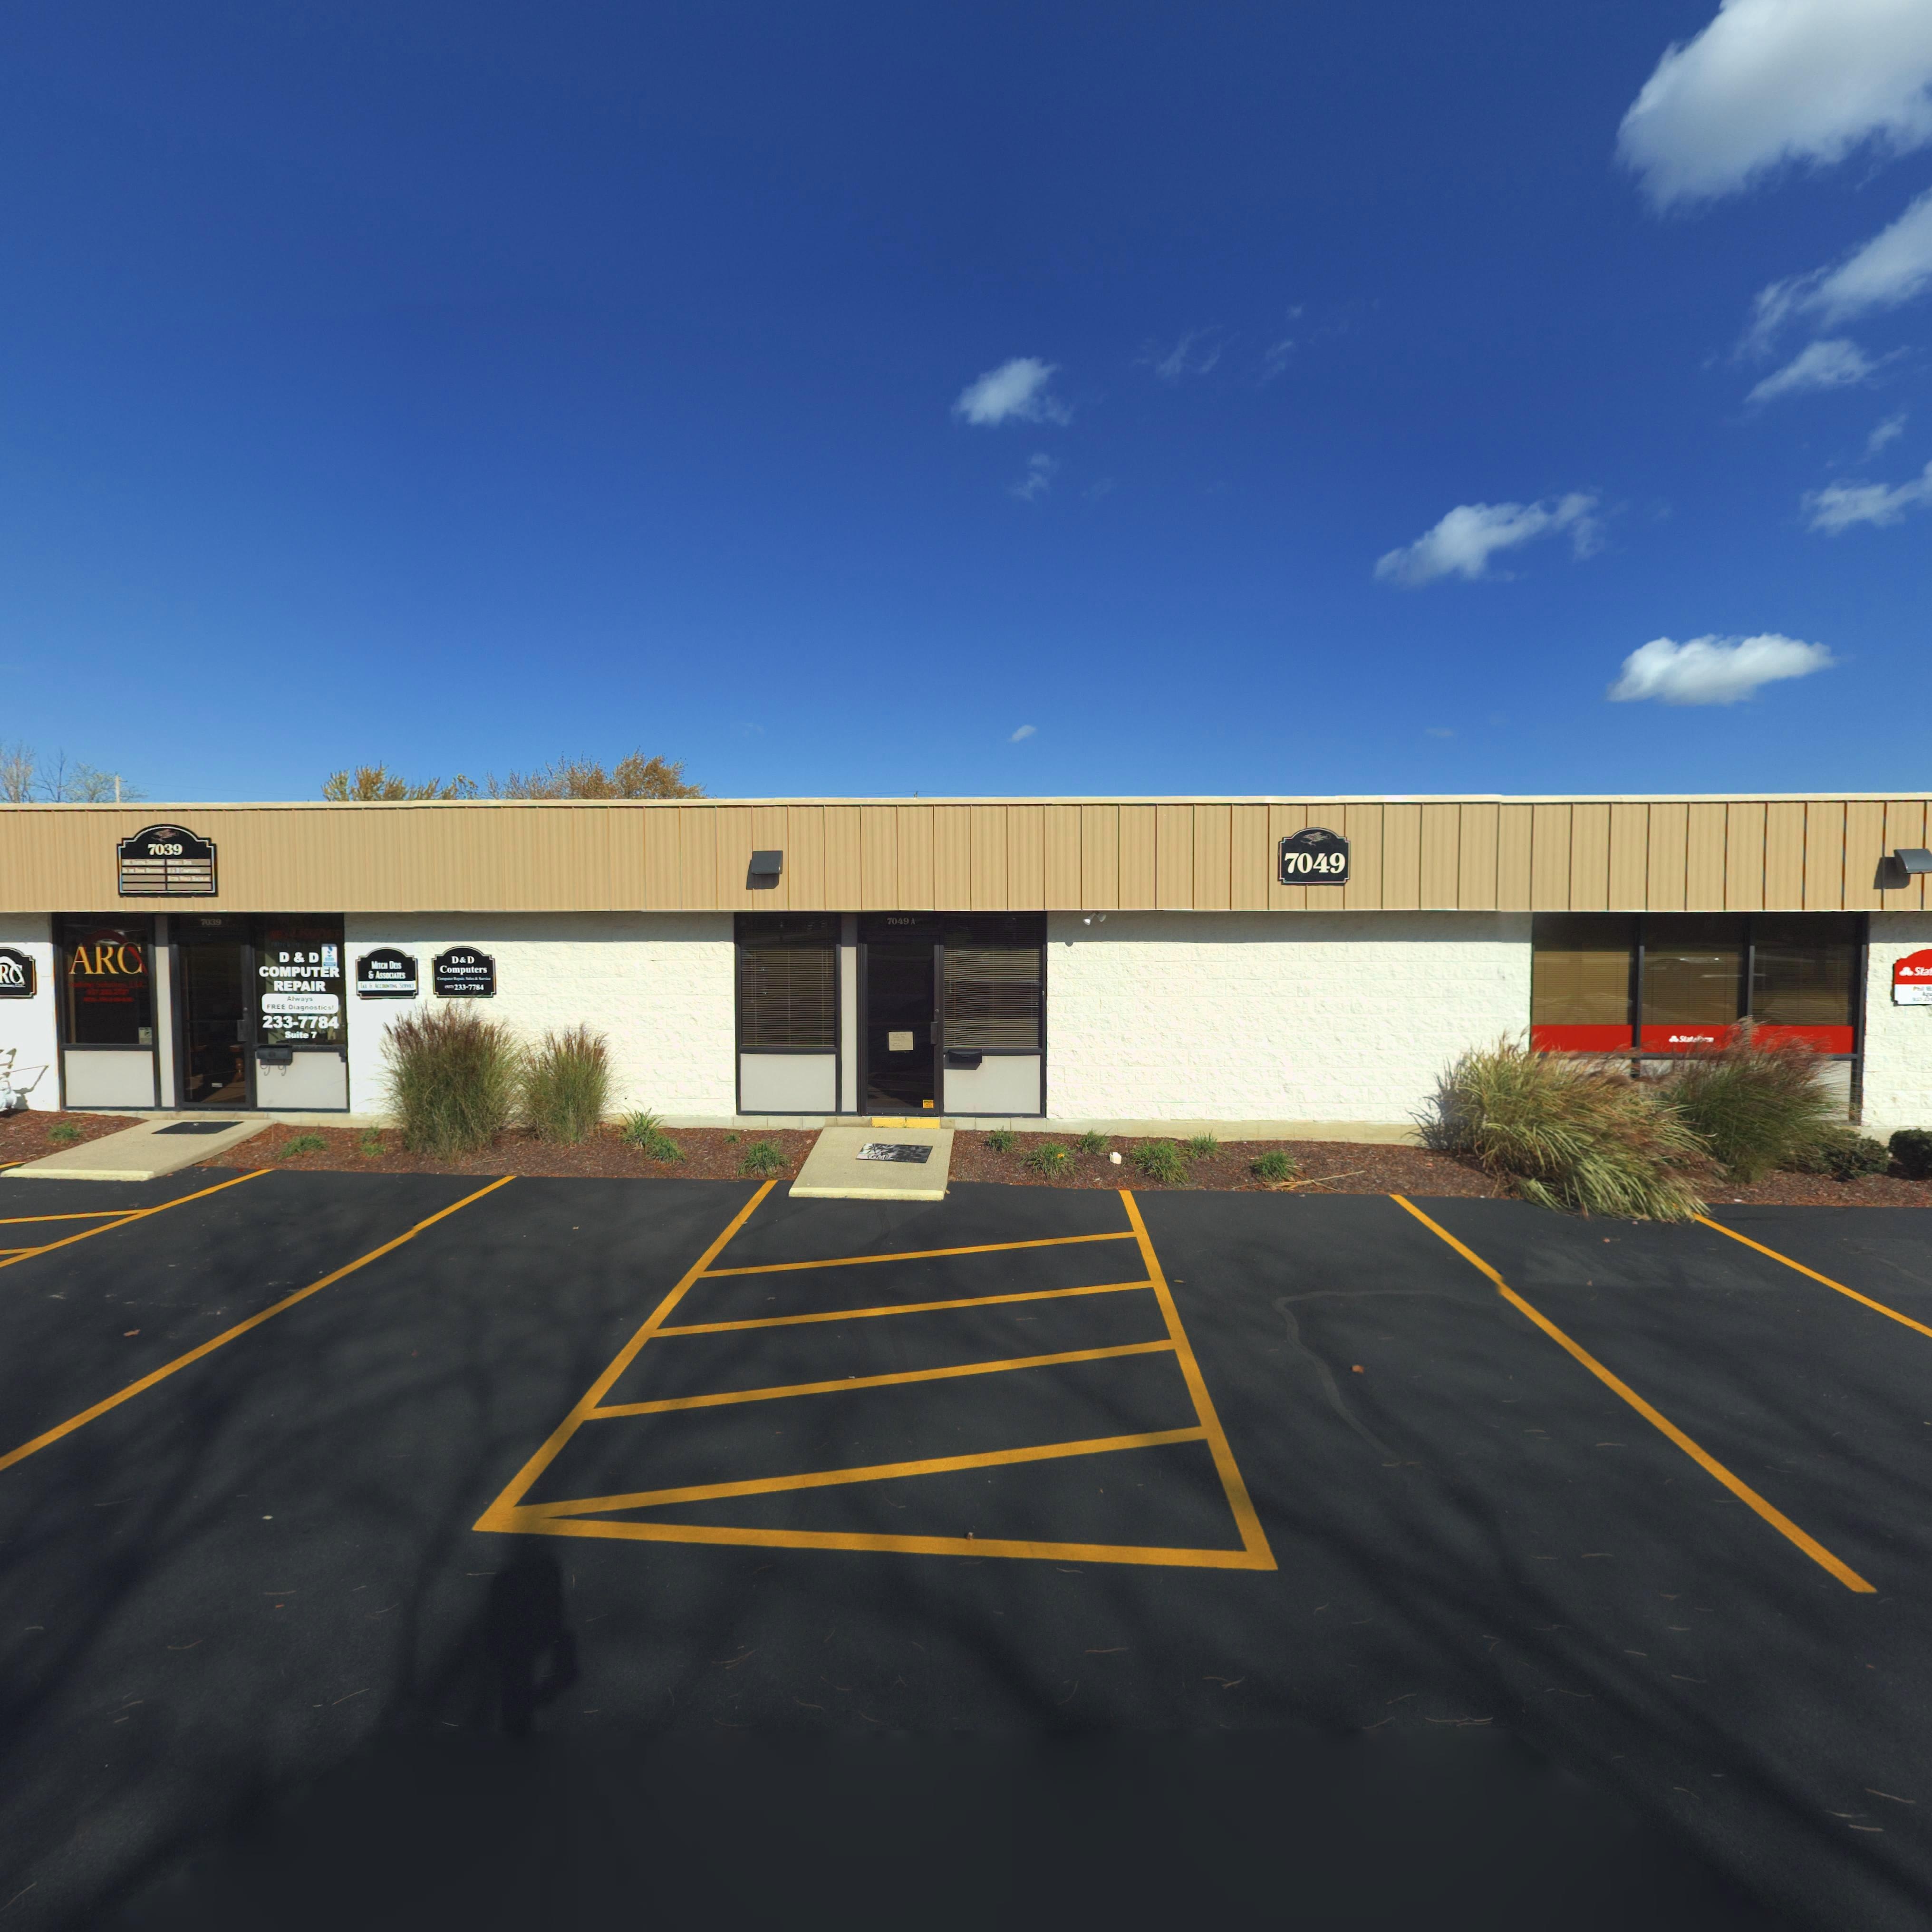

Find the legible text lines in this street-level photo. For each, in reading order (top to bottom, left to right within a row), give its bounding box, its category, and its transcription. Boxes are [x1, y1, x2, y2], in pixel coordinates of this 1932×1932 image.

[145, 841, 185, 858] StreetNumber: 7039
[1282, 850, 1348, 876] StreetNumber: 7049
[199, 917, 223, 927] StreetNumber: 7039
[884, 916, 917, 927] StreetNumber: 7049 A